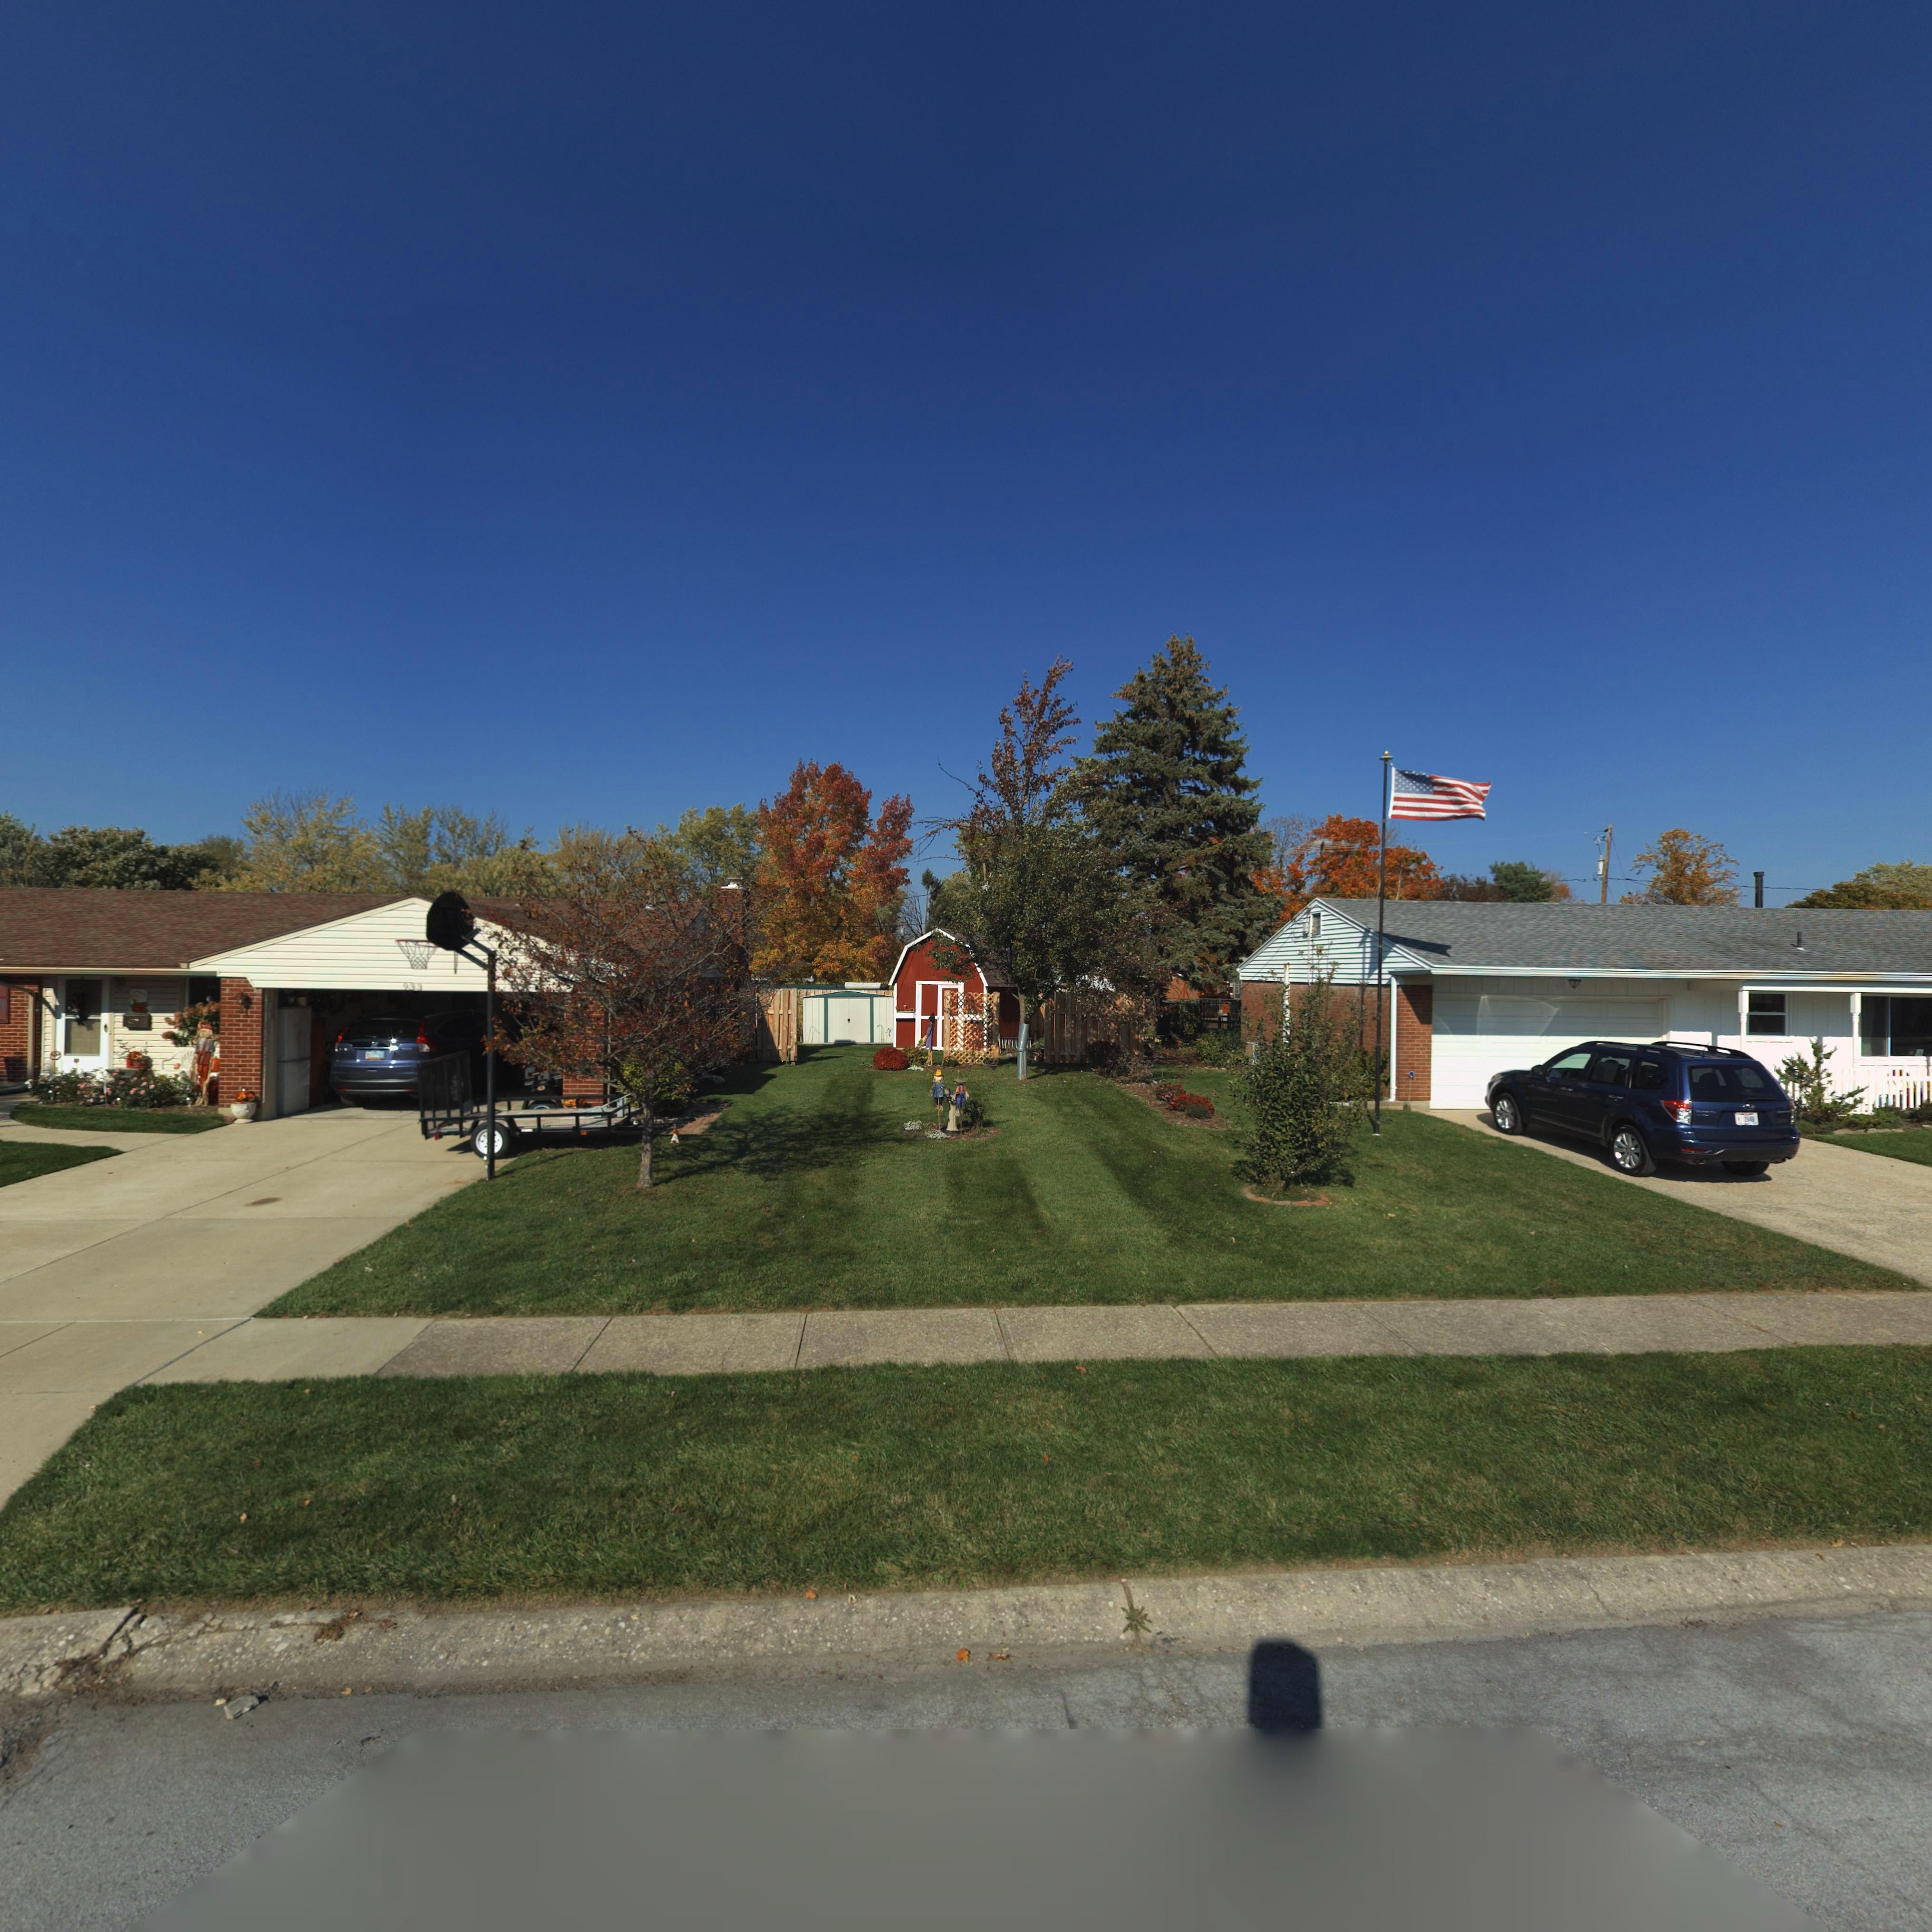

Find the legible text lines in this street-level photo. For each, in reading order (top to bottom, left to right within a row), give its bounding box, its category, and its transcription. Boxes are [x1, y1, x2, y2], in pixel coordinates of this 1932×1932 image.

[402, 981, 424, 992] StreetNumber: 933